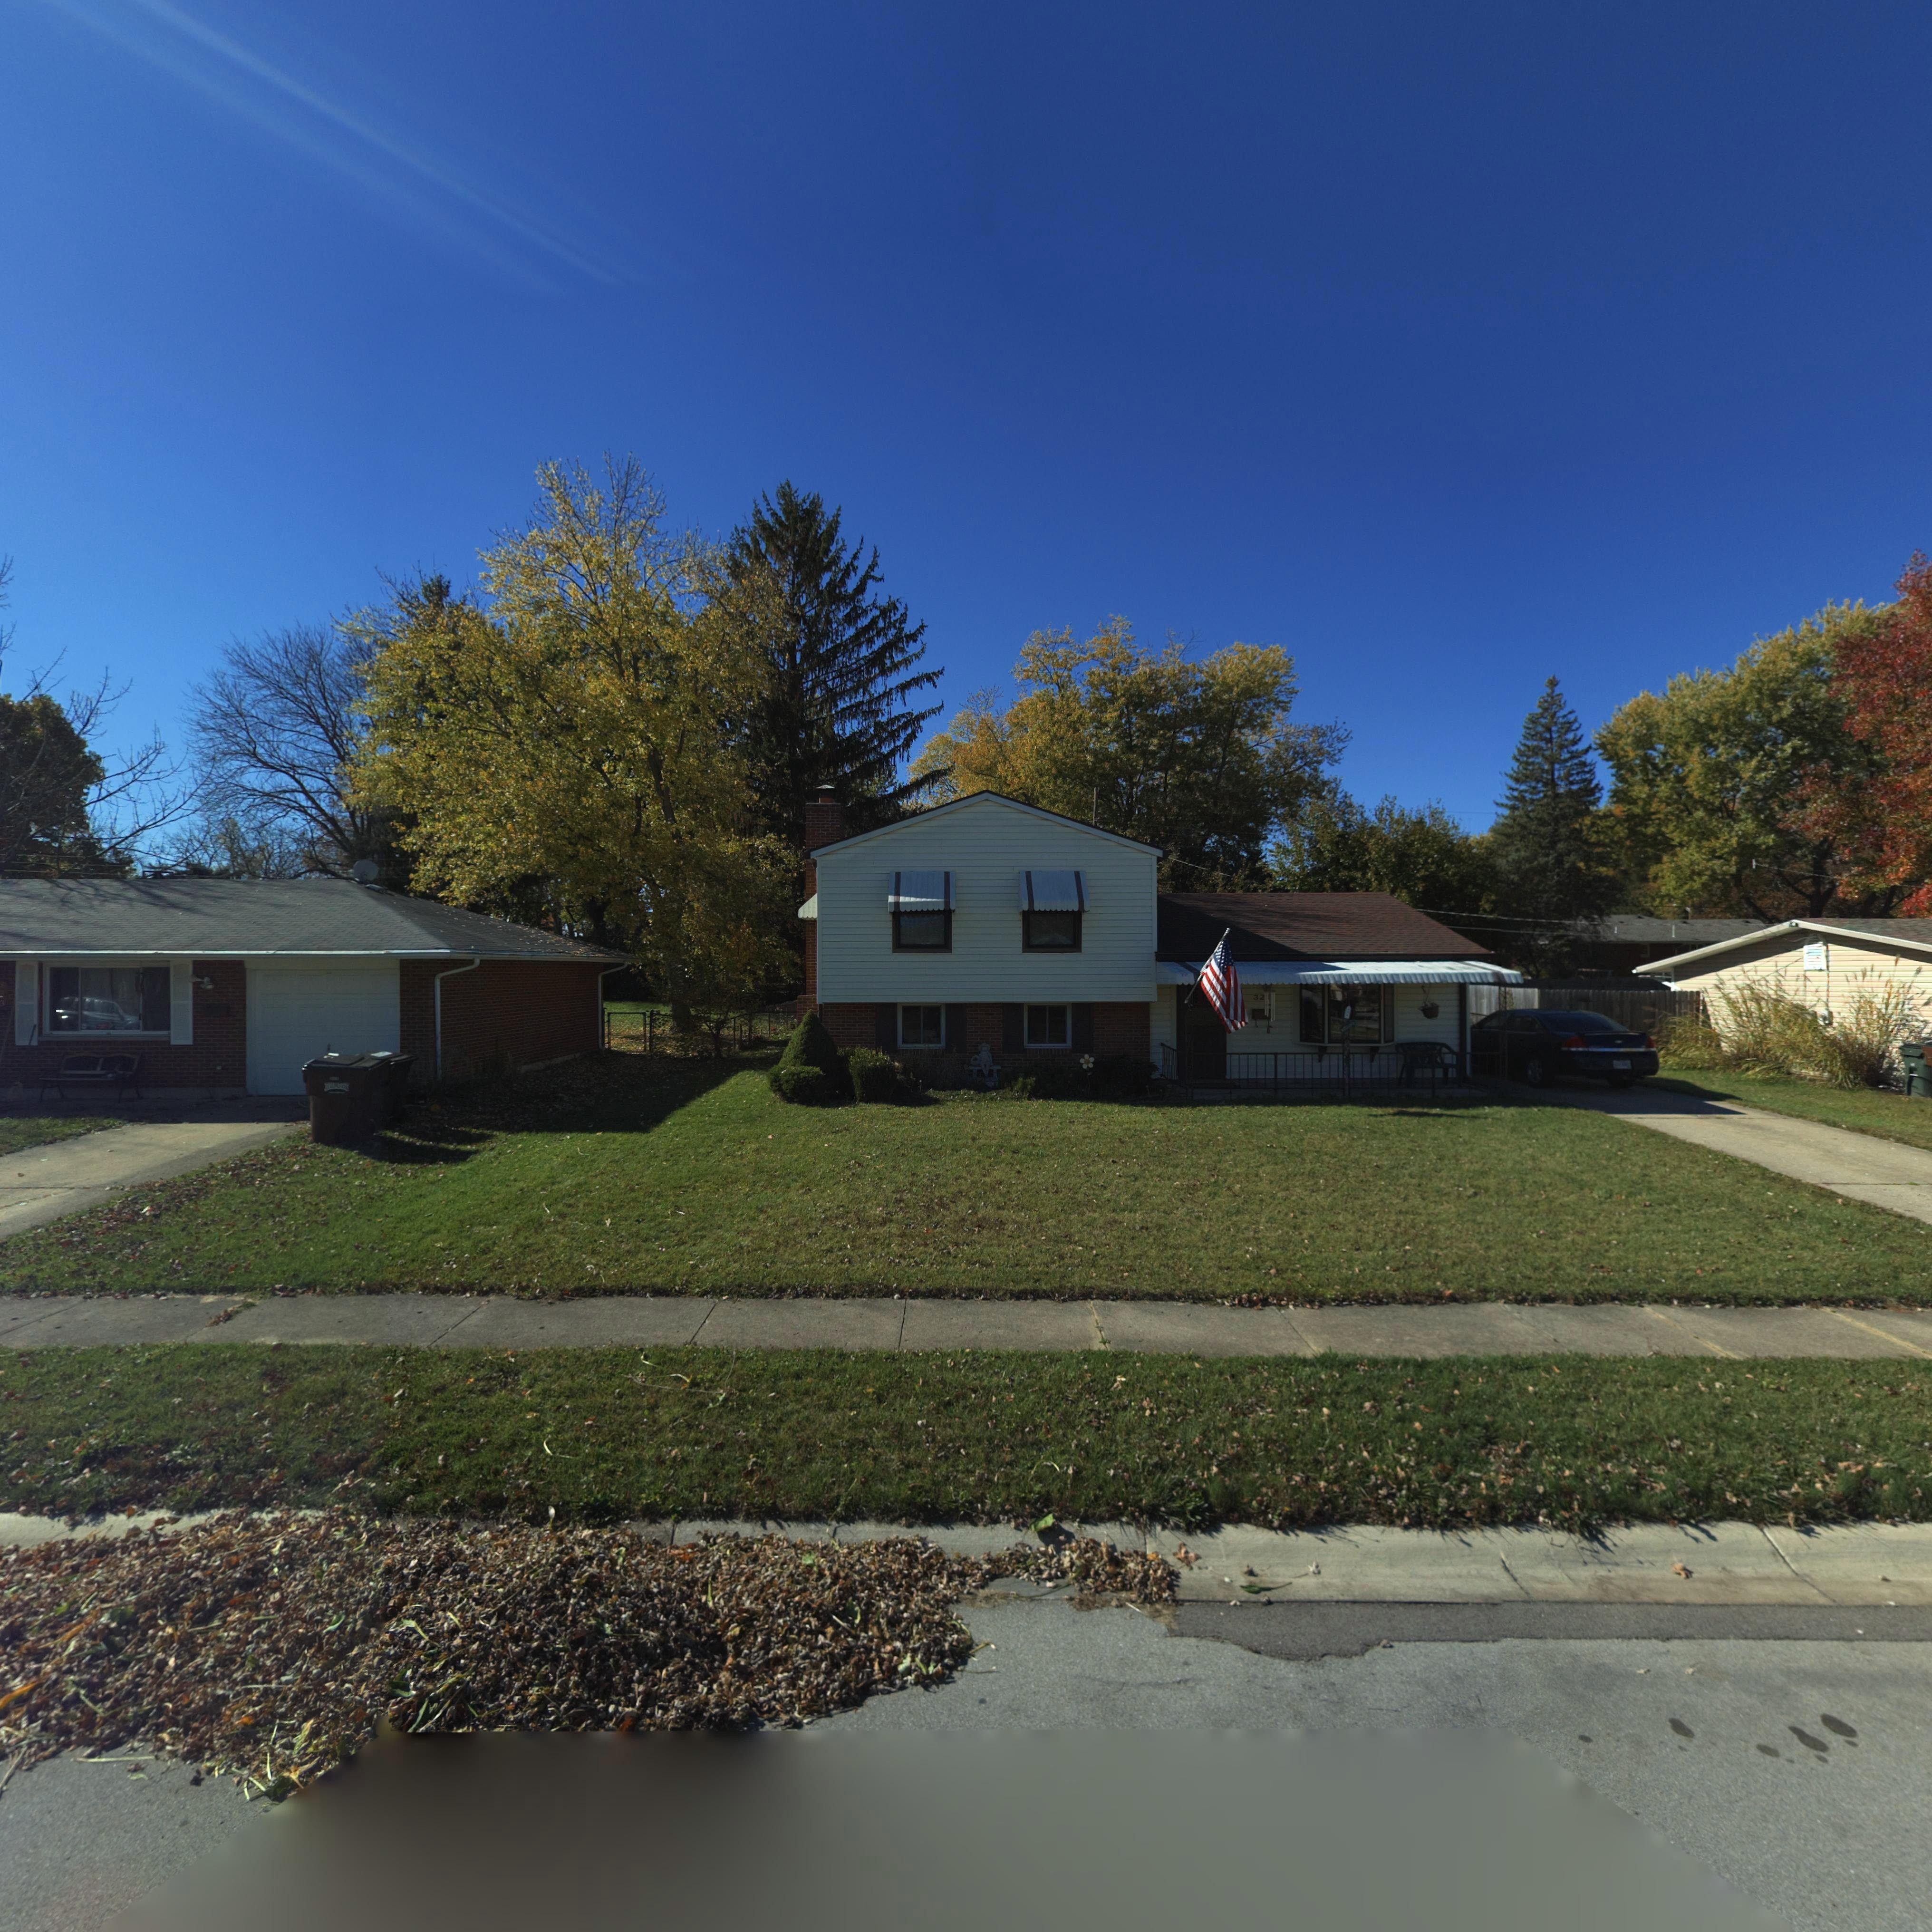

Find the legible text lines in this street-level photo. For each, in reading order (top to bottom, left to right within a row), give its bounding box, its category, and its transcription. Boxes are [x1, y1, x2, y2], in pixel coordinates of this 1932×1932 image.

[1253, 993, 1265, 1001] StreetNumber: 32